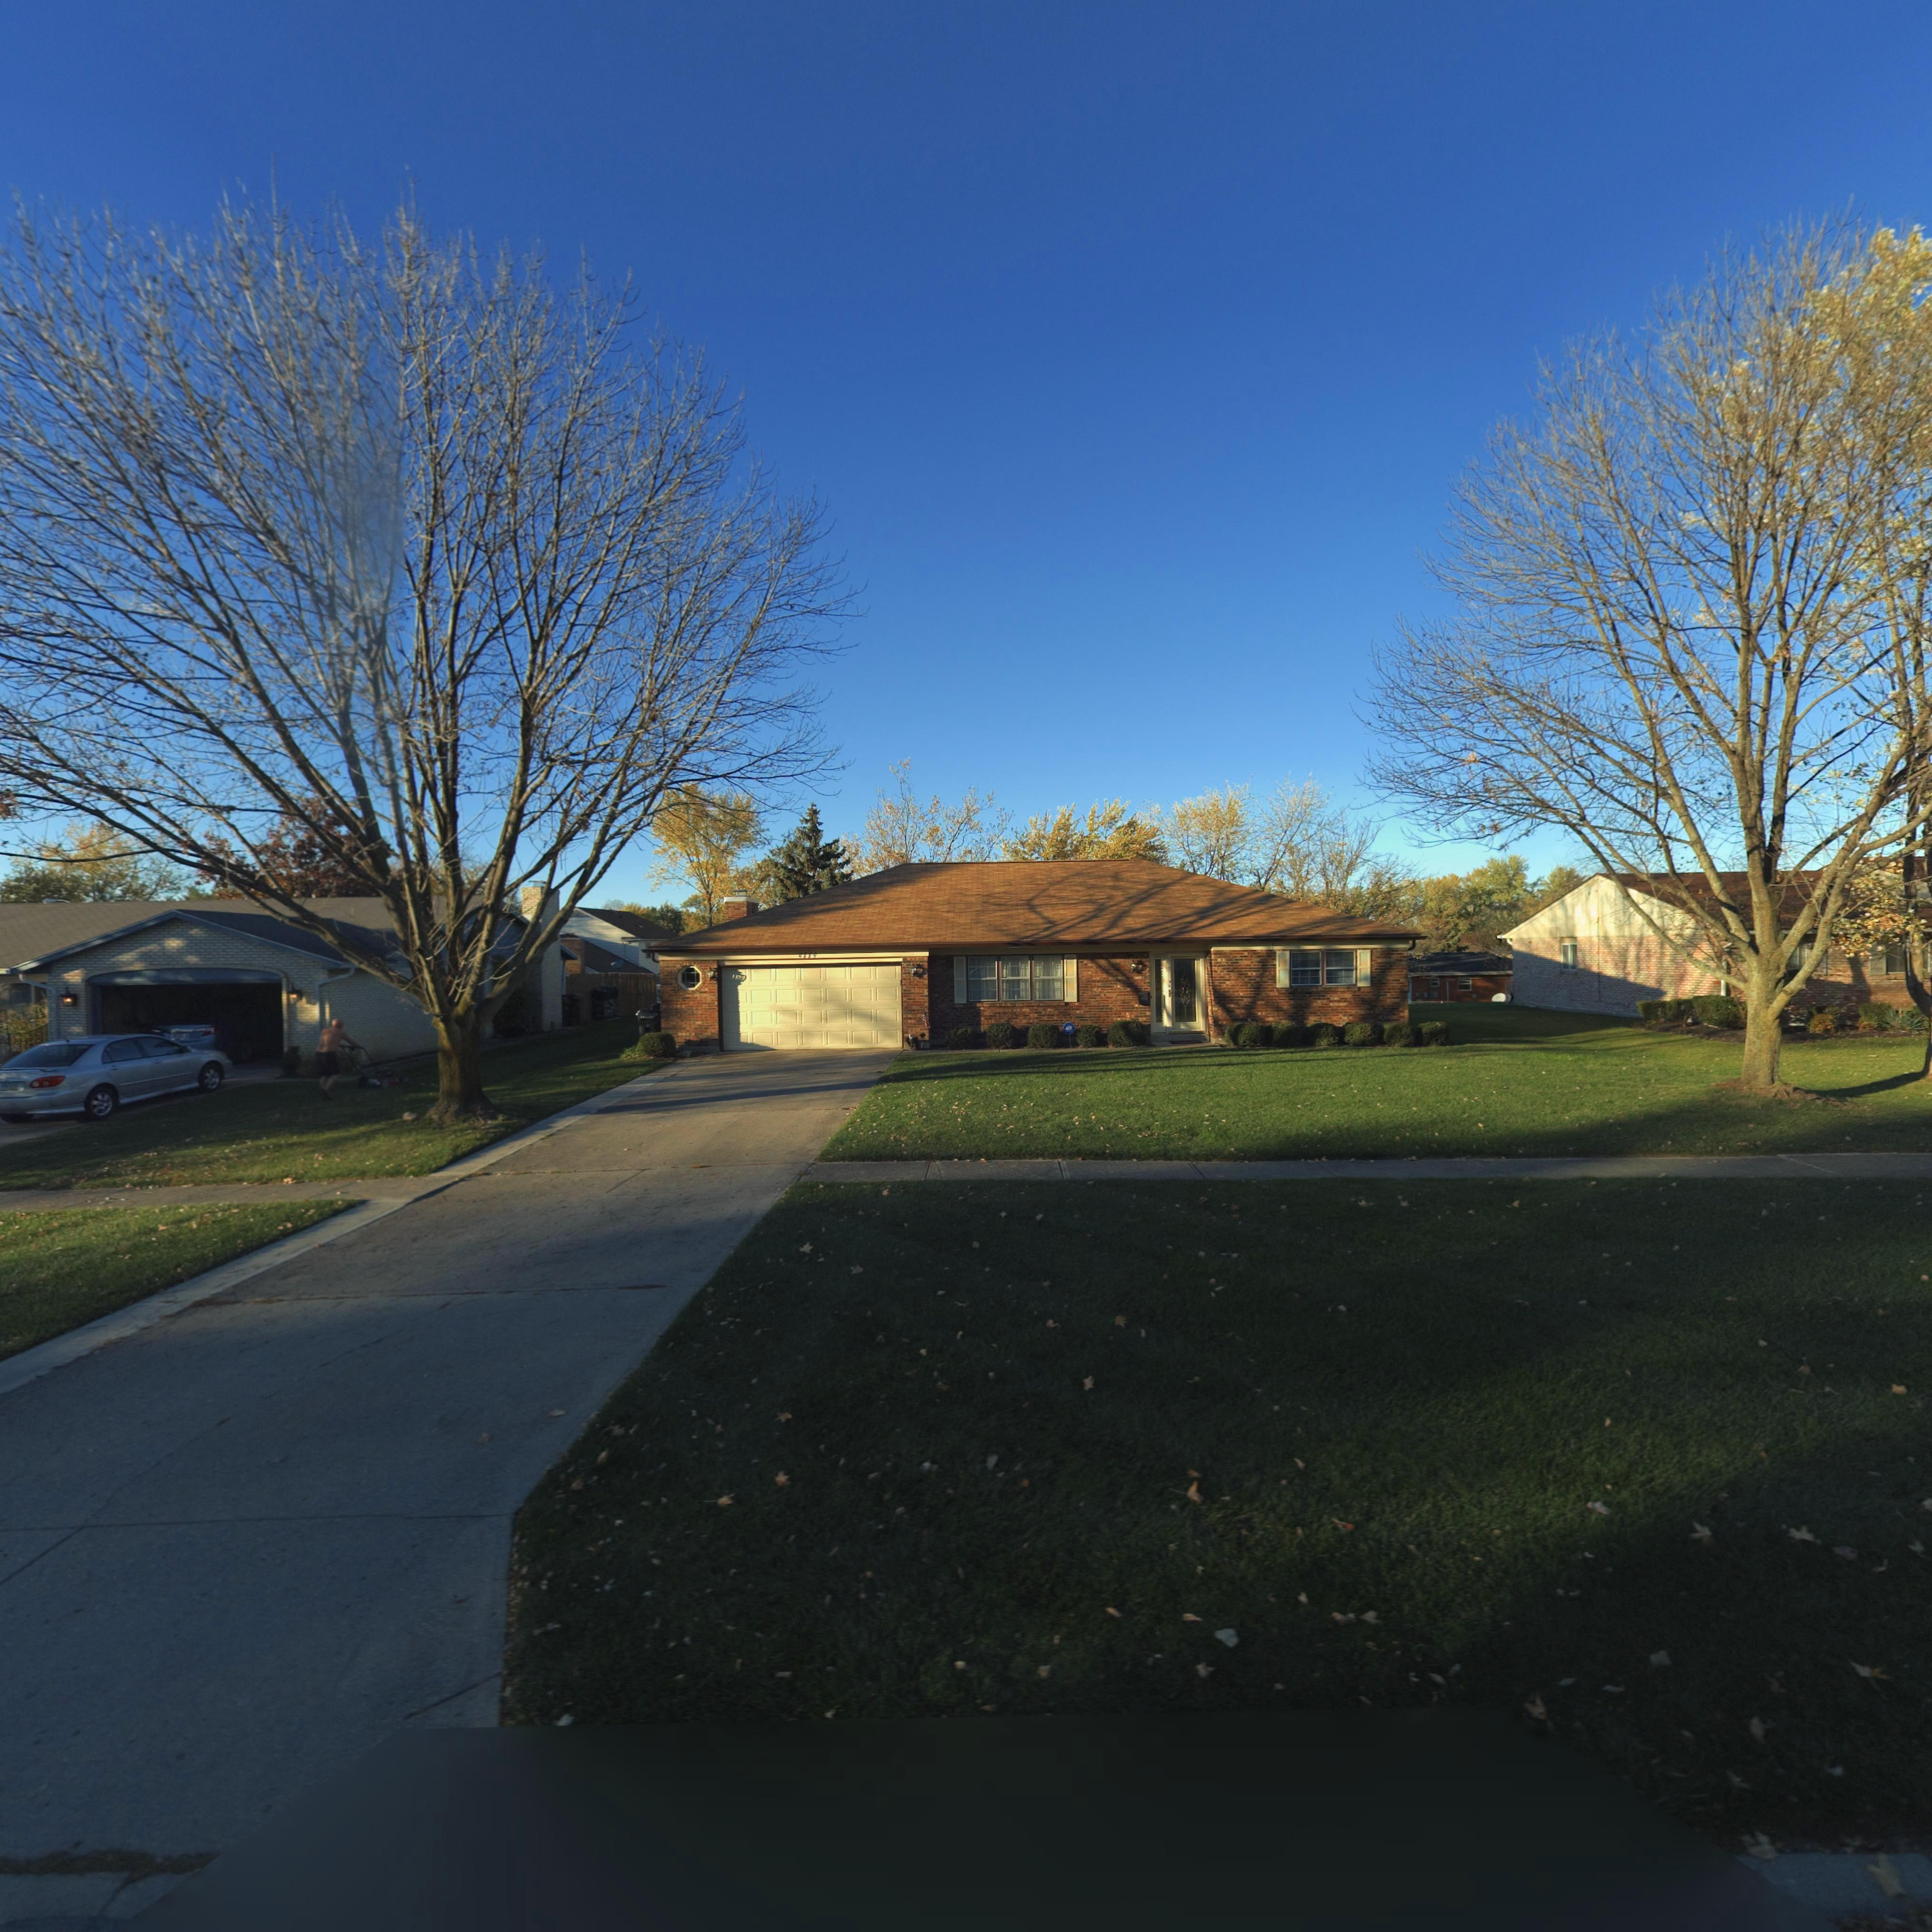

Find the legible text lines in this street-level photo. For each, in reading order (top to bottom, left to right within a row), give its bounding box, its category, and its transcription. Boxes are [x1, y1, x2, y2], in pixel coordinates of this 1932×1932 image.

[798, 952, 817, 959] StreetNumber: 4889
[181, 974, 195, 980] StreetNumber: 4***